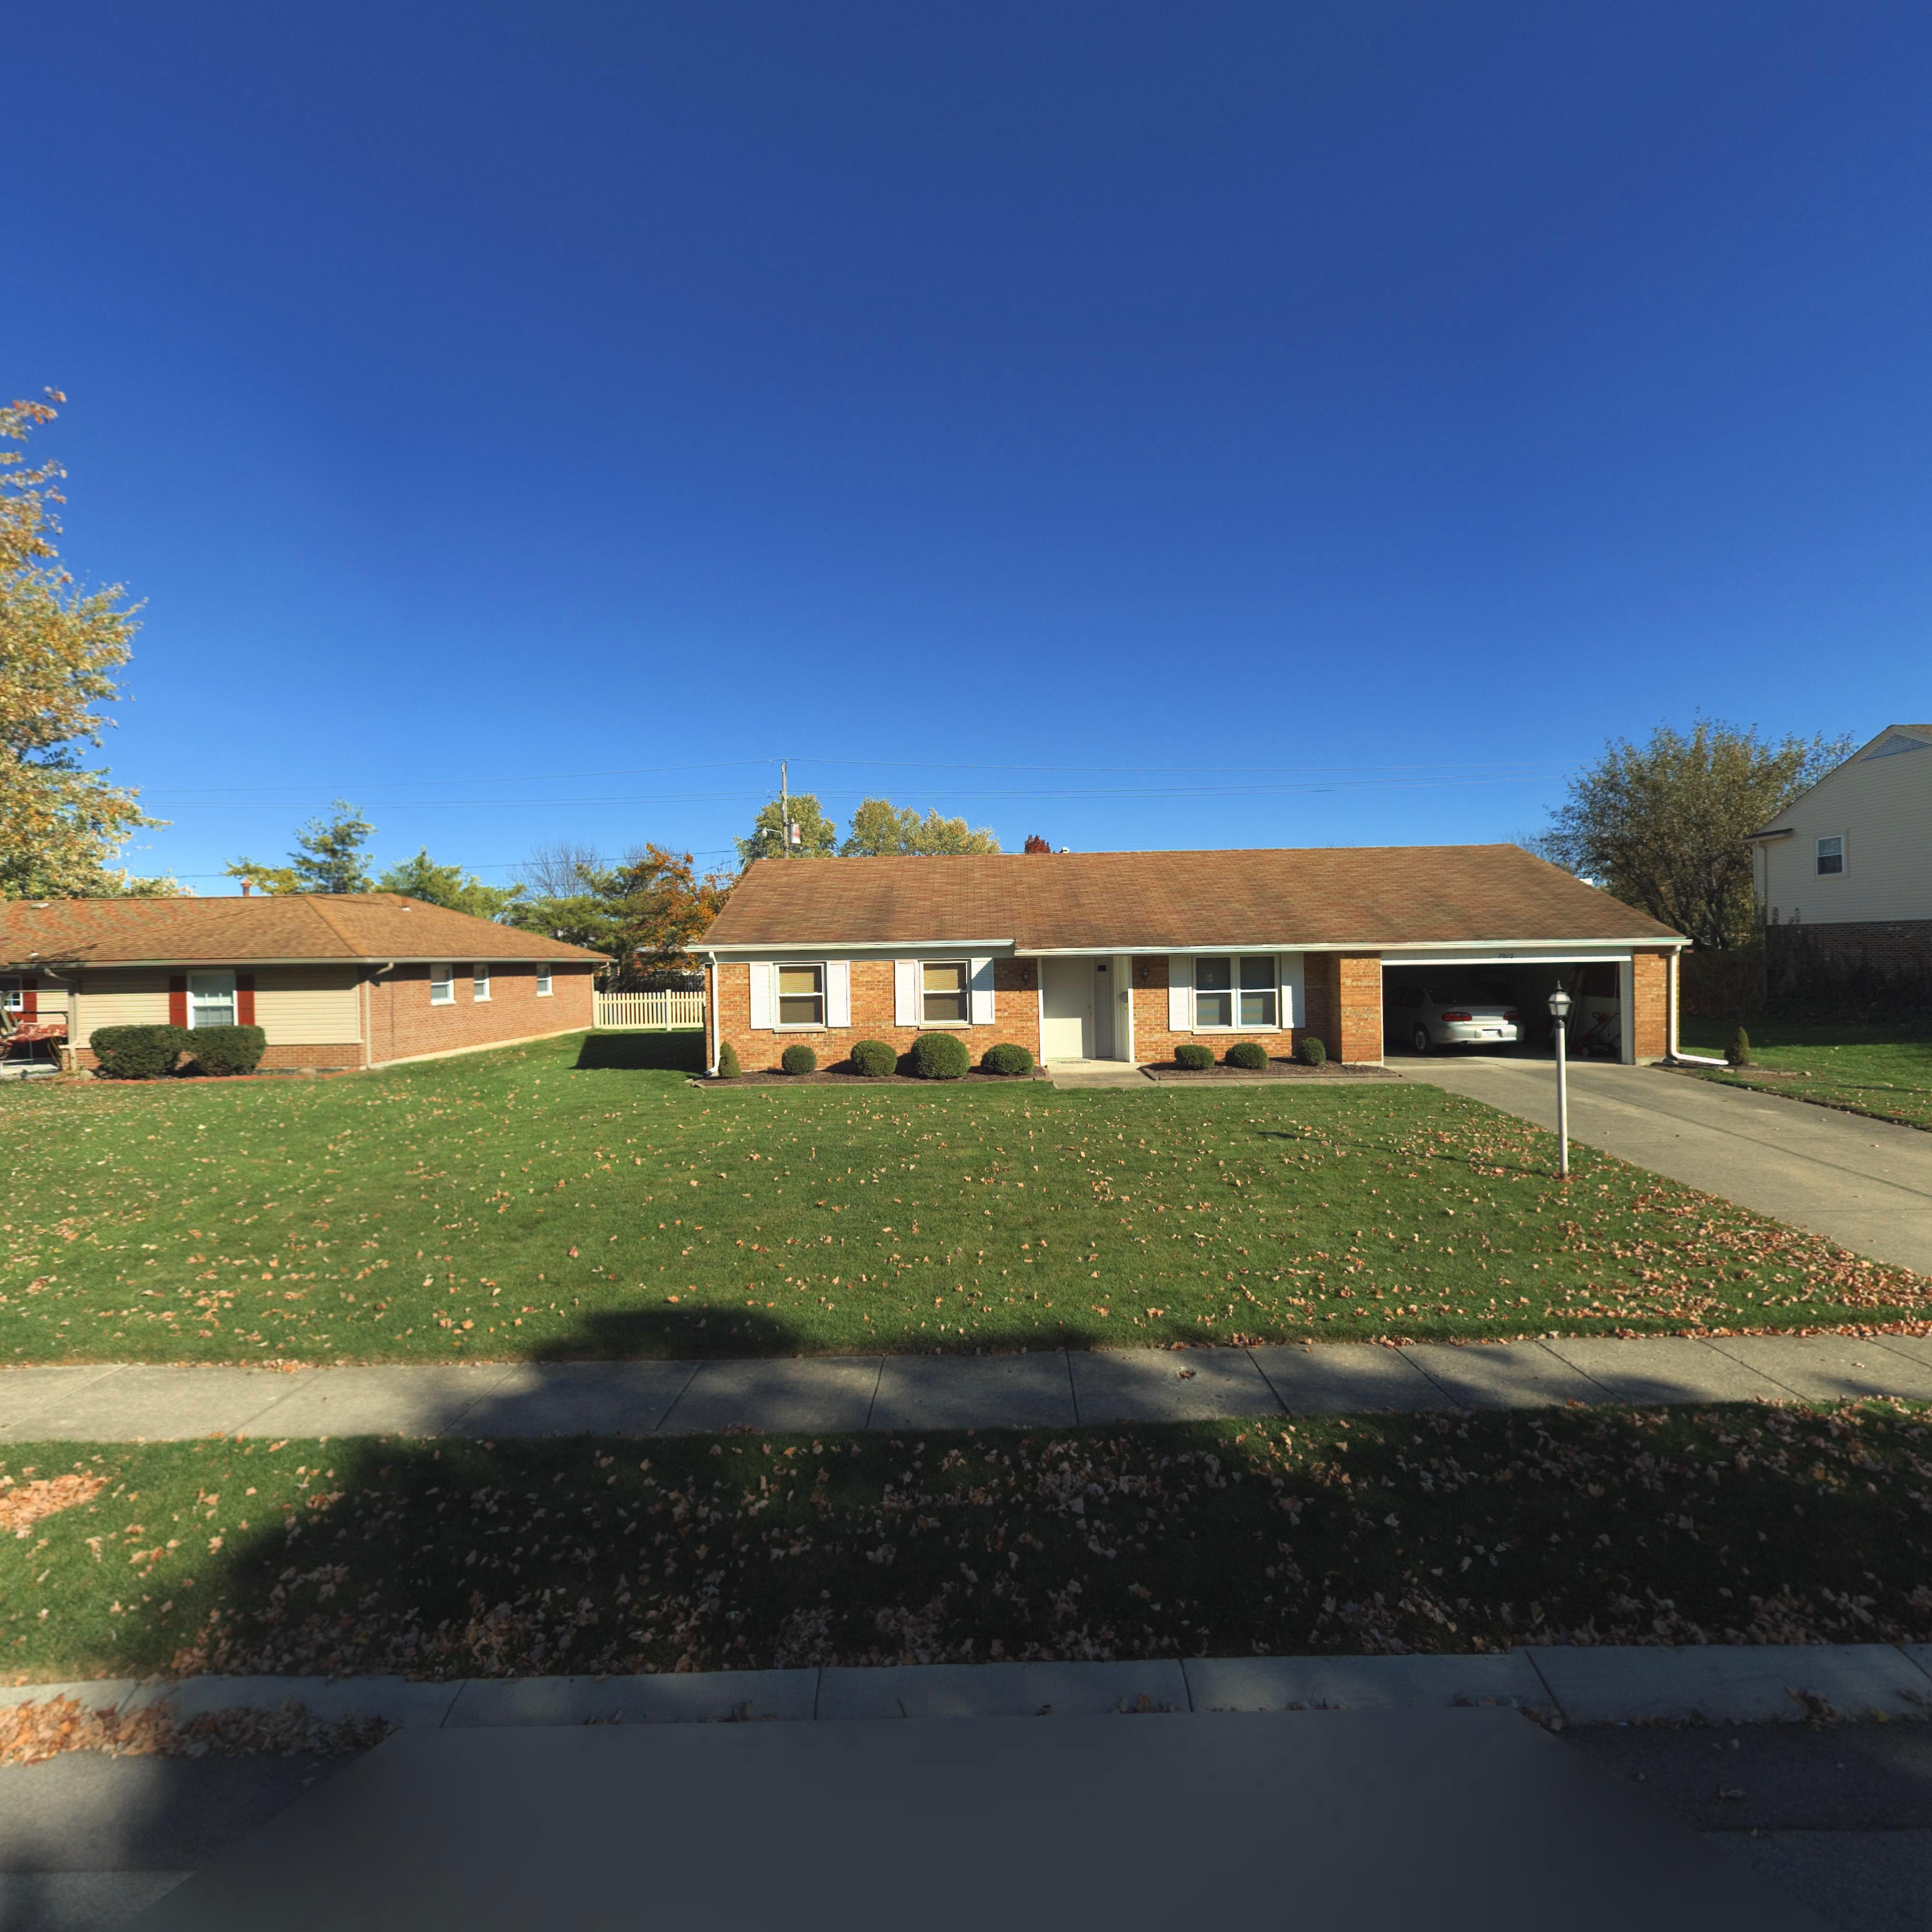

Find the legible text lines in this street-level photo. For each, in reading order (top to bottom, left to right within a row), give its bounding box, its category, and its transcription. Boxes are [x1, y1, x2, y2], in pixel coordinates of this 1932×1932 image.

[1498, 953, 1514, 958] StreetNumber: 7012